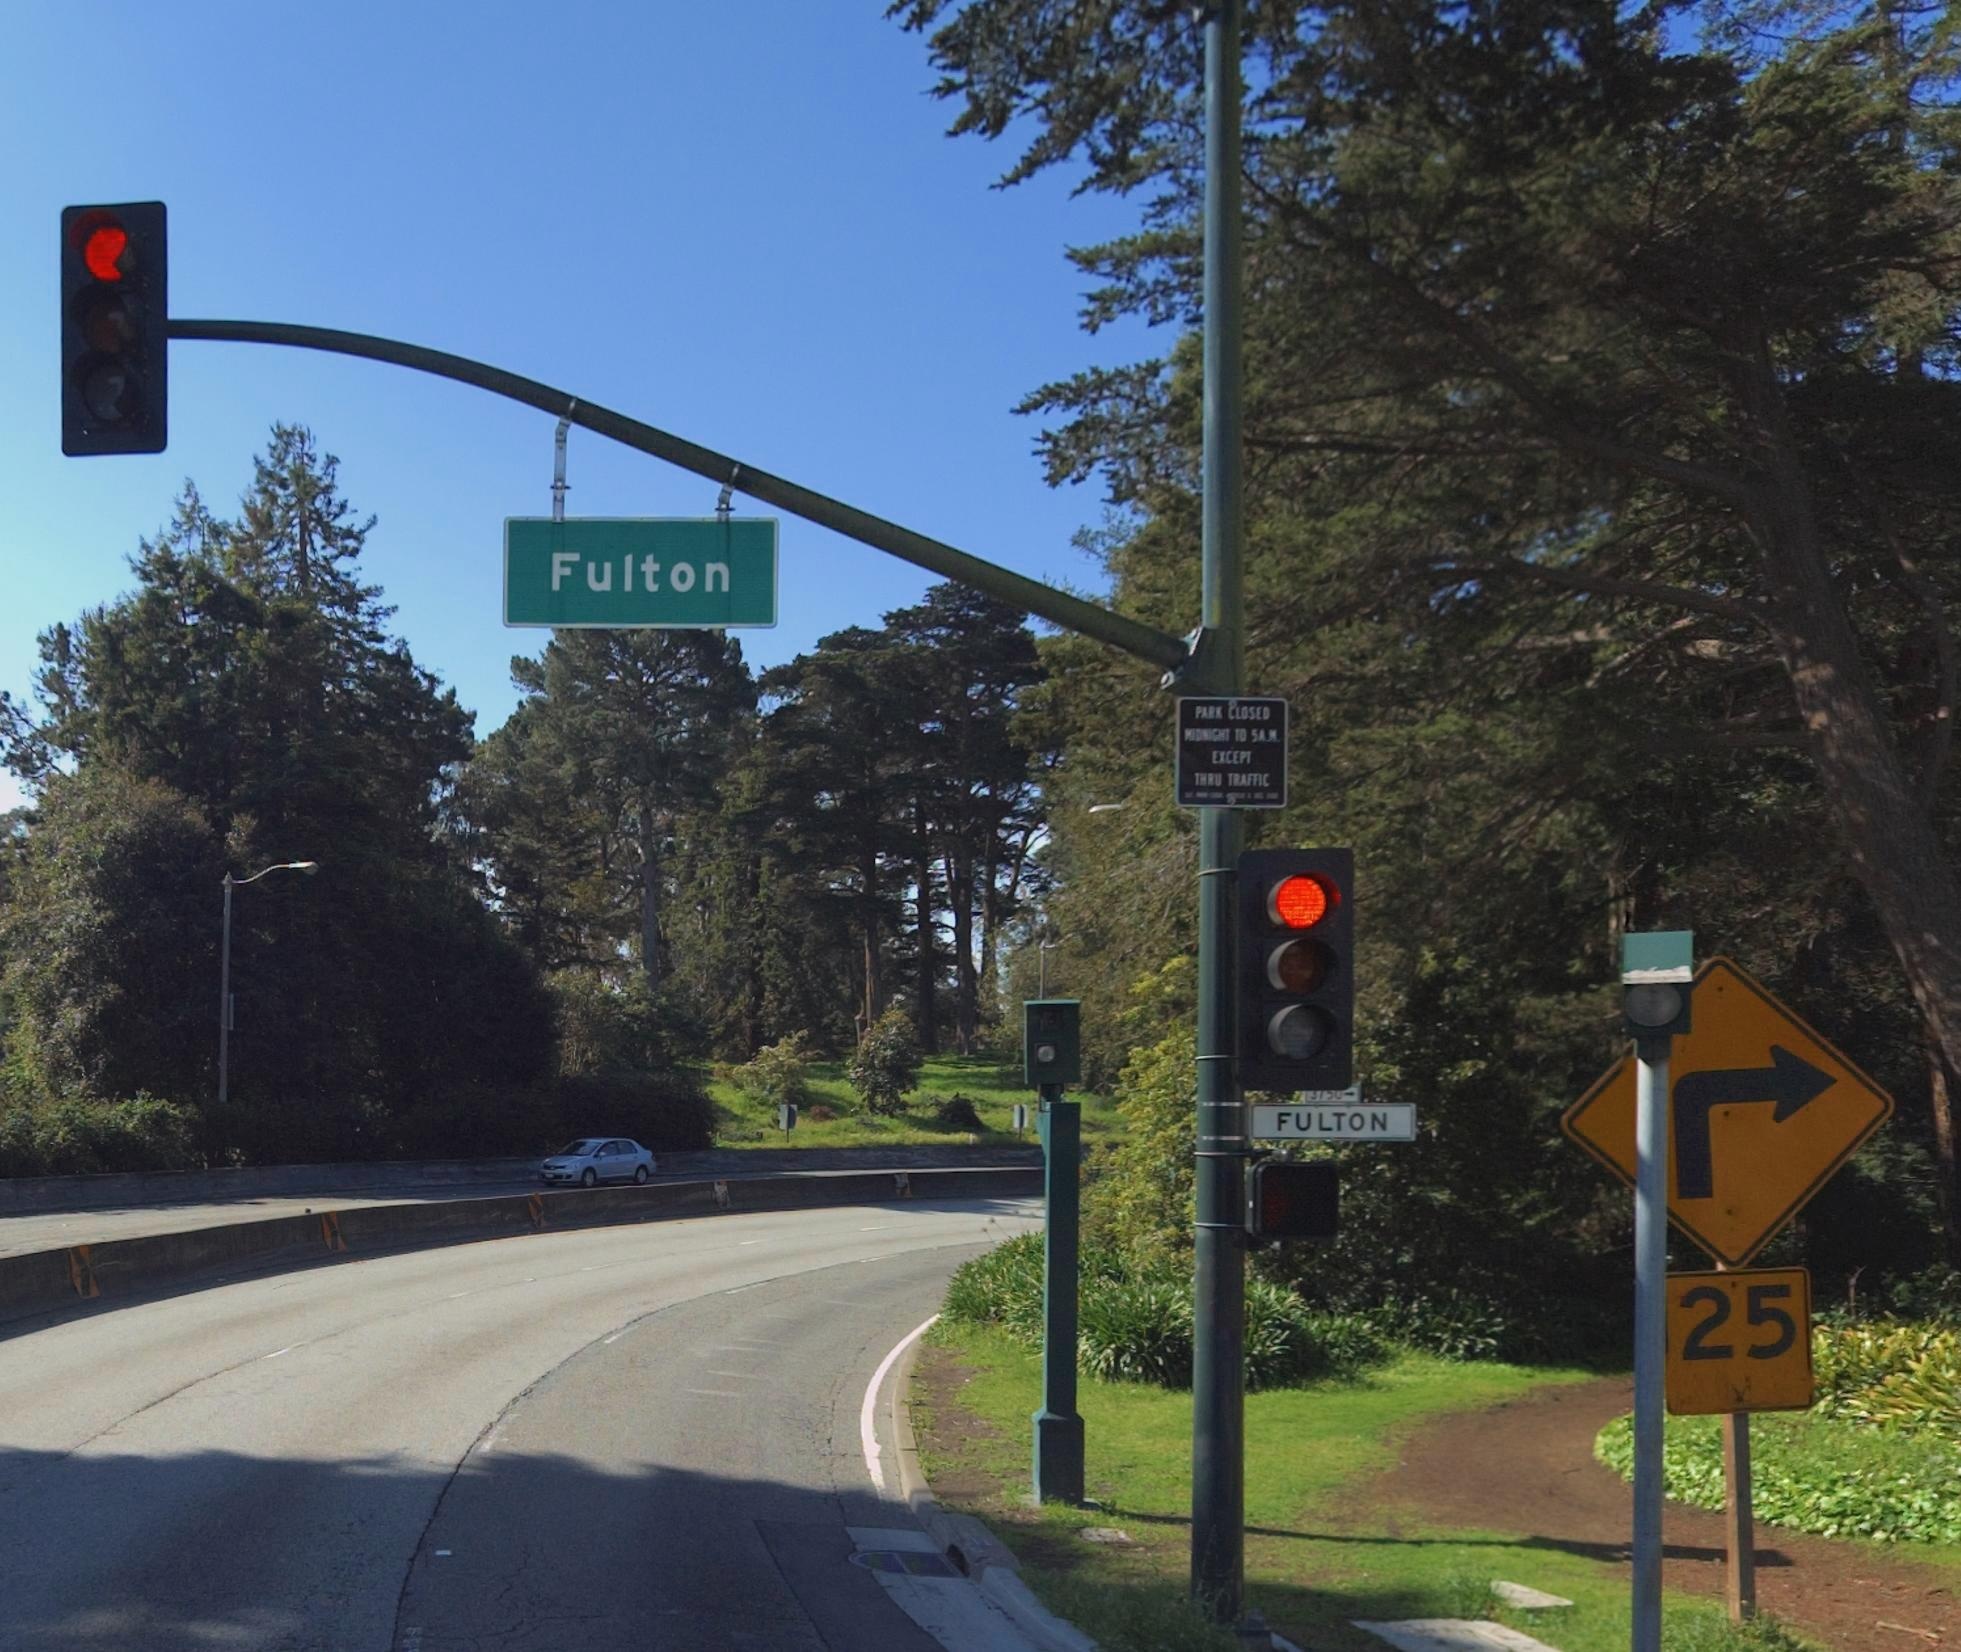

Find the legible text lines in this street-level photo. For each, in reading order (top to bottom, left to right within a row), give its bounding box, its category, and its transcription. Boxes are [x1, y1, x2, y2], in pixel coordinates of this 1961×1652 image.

[549, 548, 730, 594] StreetName: Fulton
[1193, 701, 1270, 721] None: PARK CLOSED
[1183, 725, 1279, 744] None: MIDNIGHT TO 5A.M
[1209, 748, 1252, 766] None: EXCEPT
[1193, 769, 1269, 788] None: THRU TRAFFIC
[1307, 1084, 1356, 1103] StreetNumberRange: ****->
[1274, 1110, 1390, 1133] StreetName: FULTON
[1675, 1278, 1801, 1363] None: 25